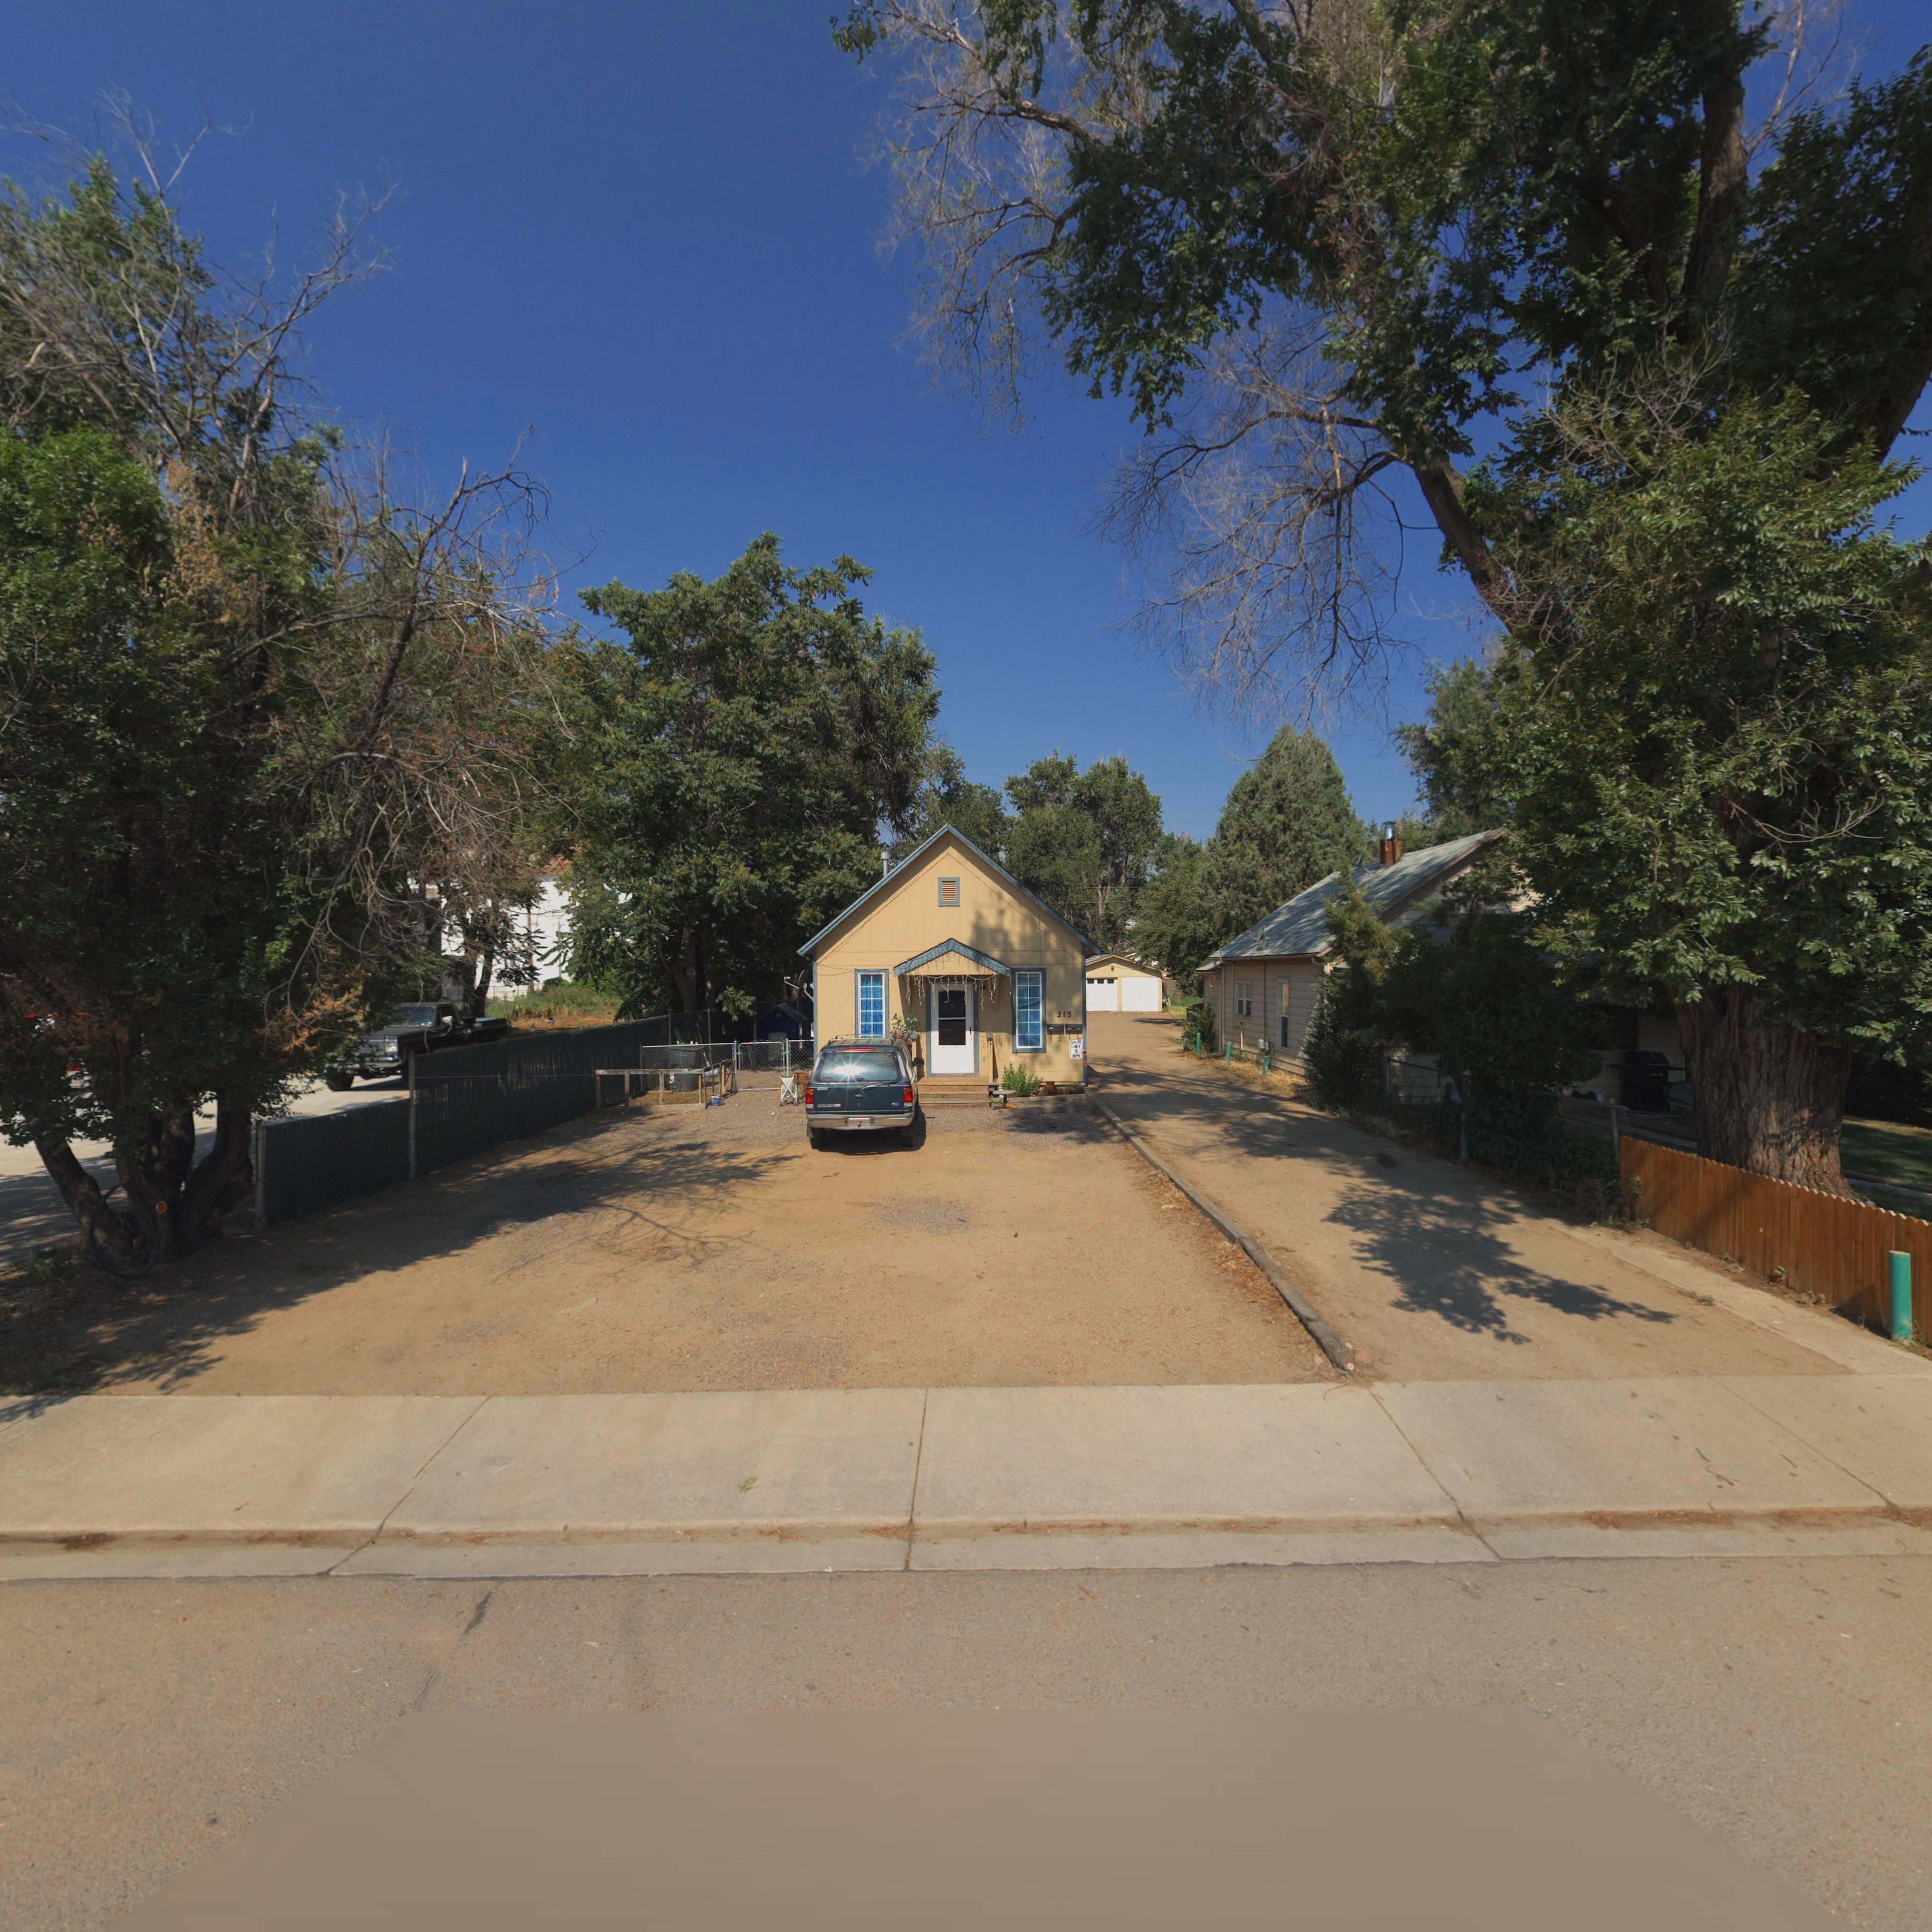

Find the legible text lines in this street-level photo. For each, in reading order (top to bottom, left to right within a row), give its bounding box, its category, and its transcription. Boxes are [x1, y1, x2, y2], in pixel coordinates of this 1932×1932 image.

[1057, 1010, 1072, 1018] StreetNumber: 215